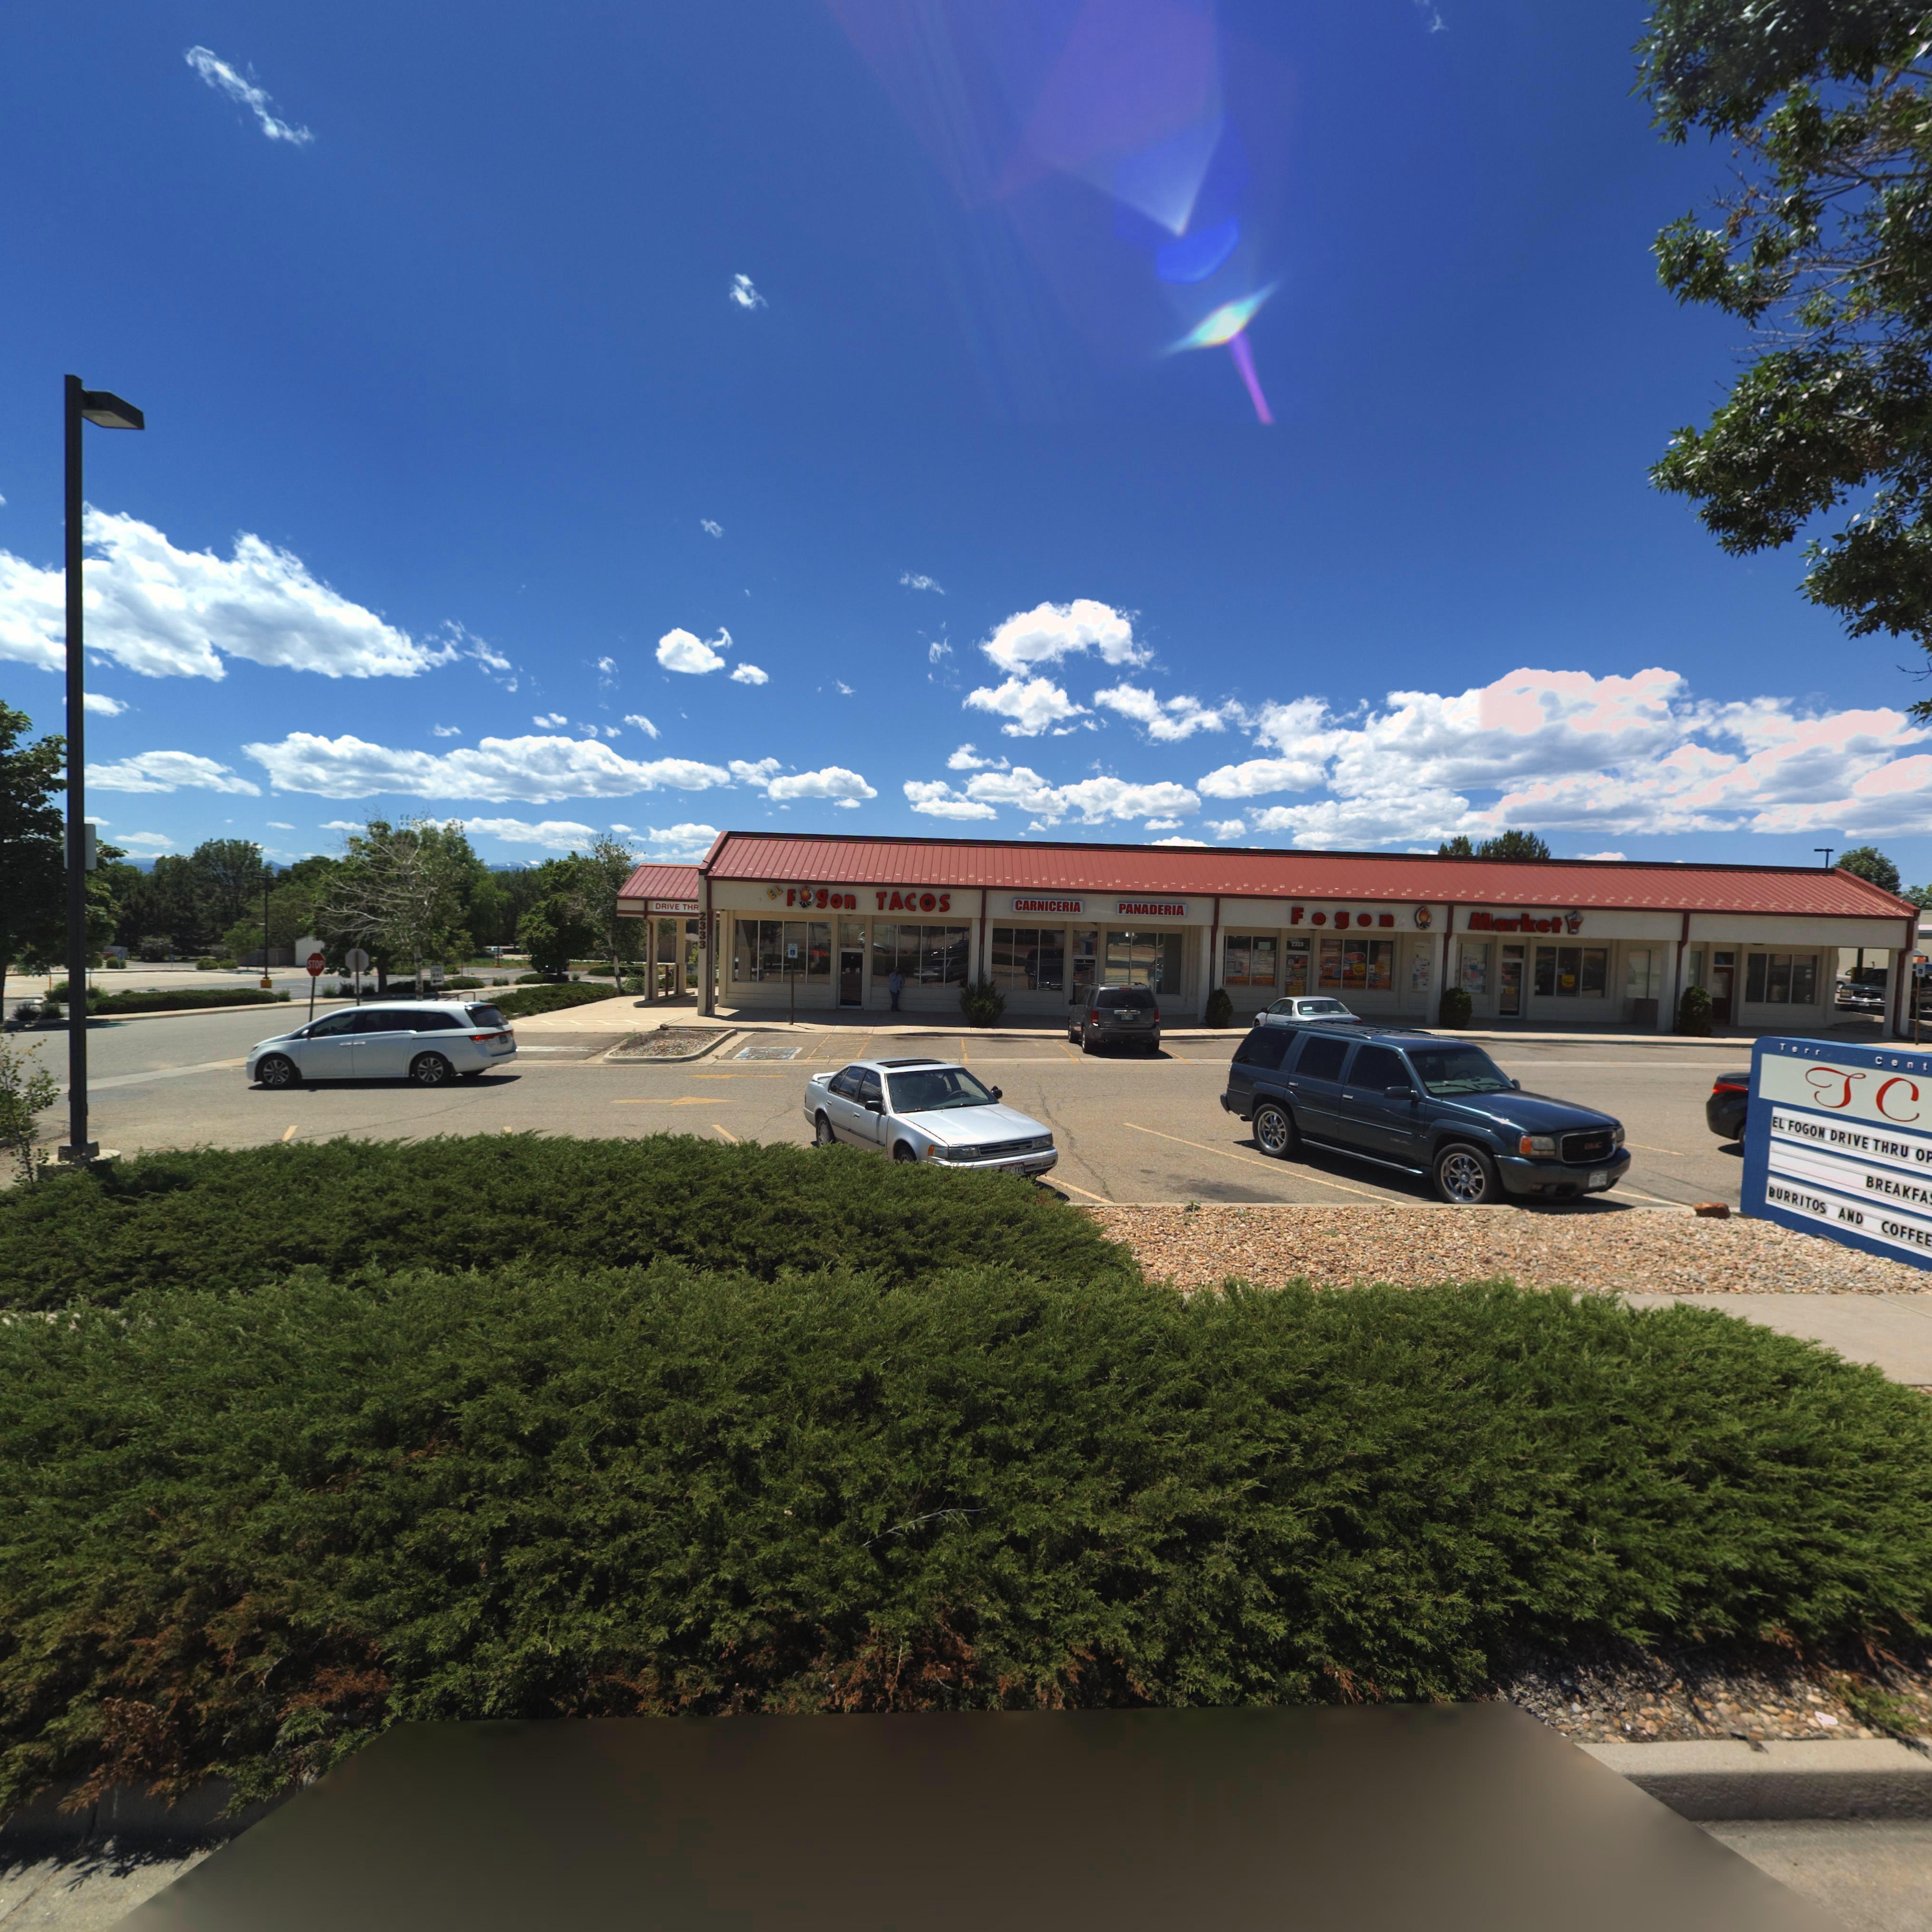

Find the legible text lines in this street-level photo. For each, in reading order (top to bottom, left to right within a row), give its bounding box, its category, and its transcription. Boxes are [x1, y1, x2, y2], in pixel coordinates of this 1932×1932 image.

[765, 884, 784, 900] BusinessName: EL
[785, 884, 952, 912] BusinessName: F*gon TACOS
[698, 911, 706, 949] StreetNumber: 2333
[1289, 906, 1395, 929] BusinessName: Fogon
[1466, 910, 1564, 933] BusinessName: Market
[1291, 941, 1304, 947] StreetNumber: 2333
[1804, 1064, 1922, 1125] BusinessName: JC